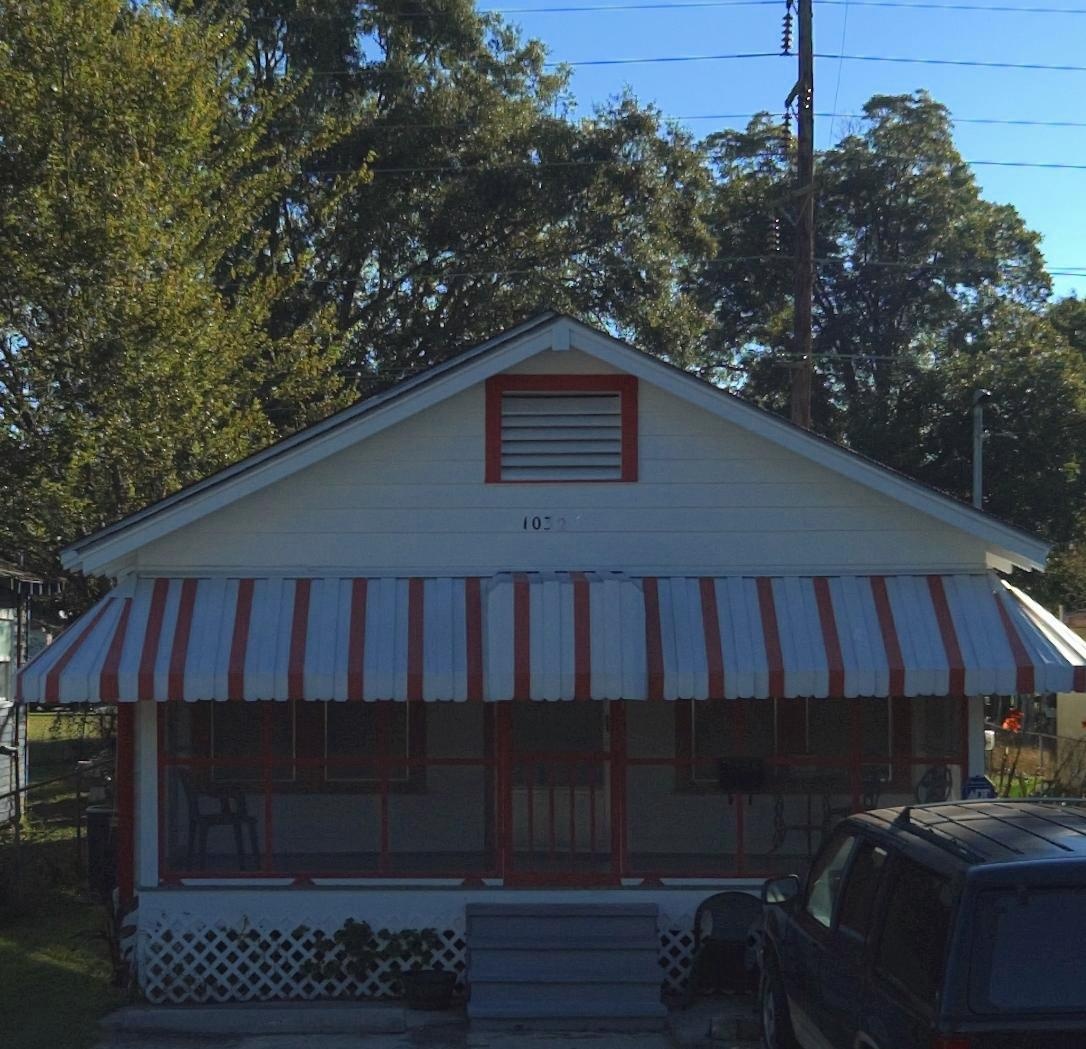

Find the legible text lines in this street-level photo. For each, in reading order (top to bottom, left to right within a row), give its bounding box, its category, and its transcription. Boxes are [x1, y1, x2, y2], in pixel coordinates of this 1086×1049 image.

[522, 514, 568, 532] StreetNumber: 103*